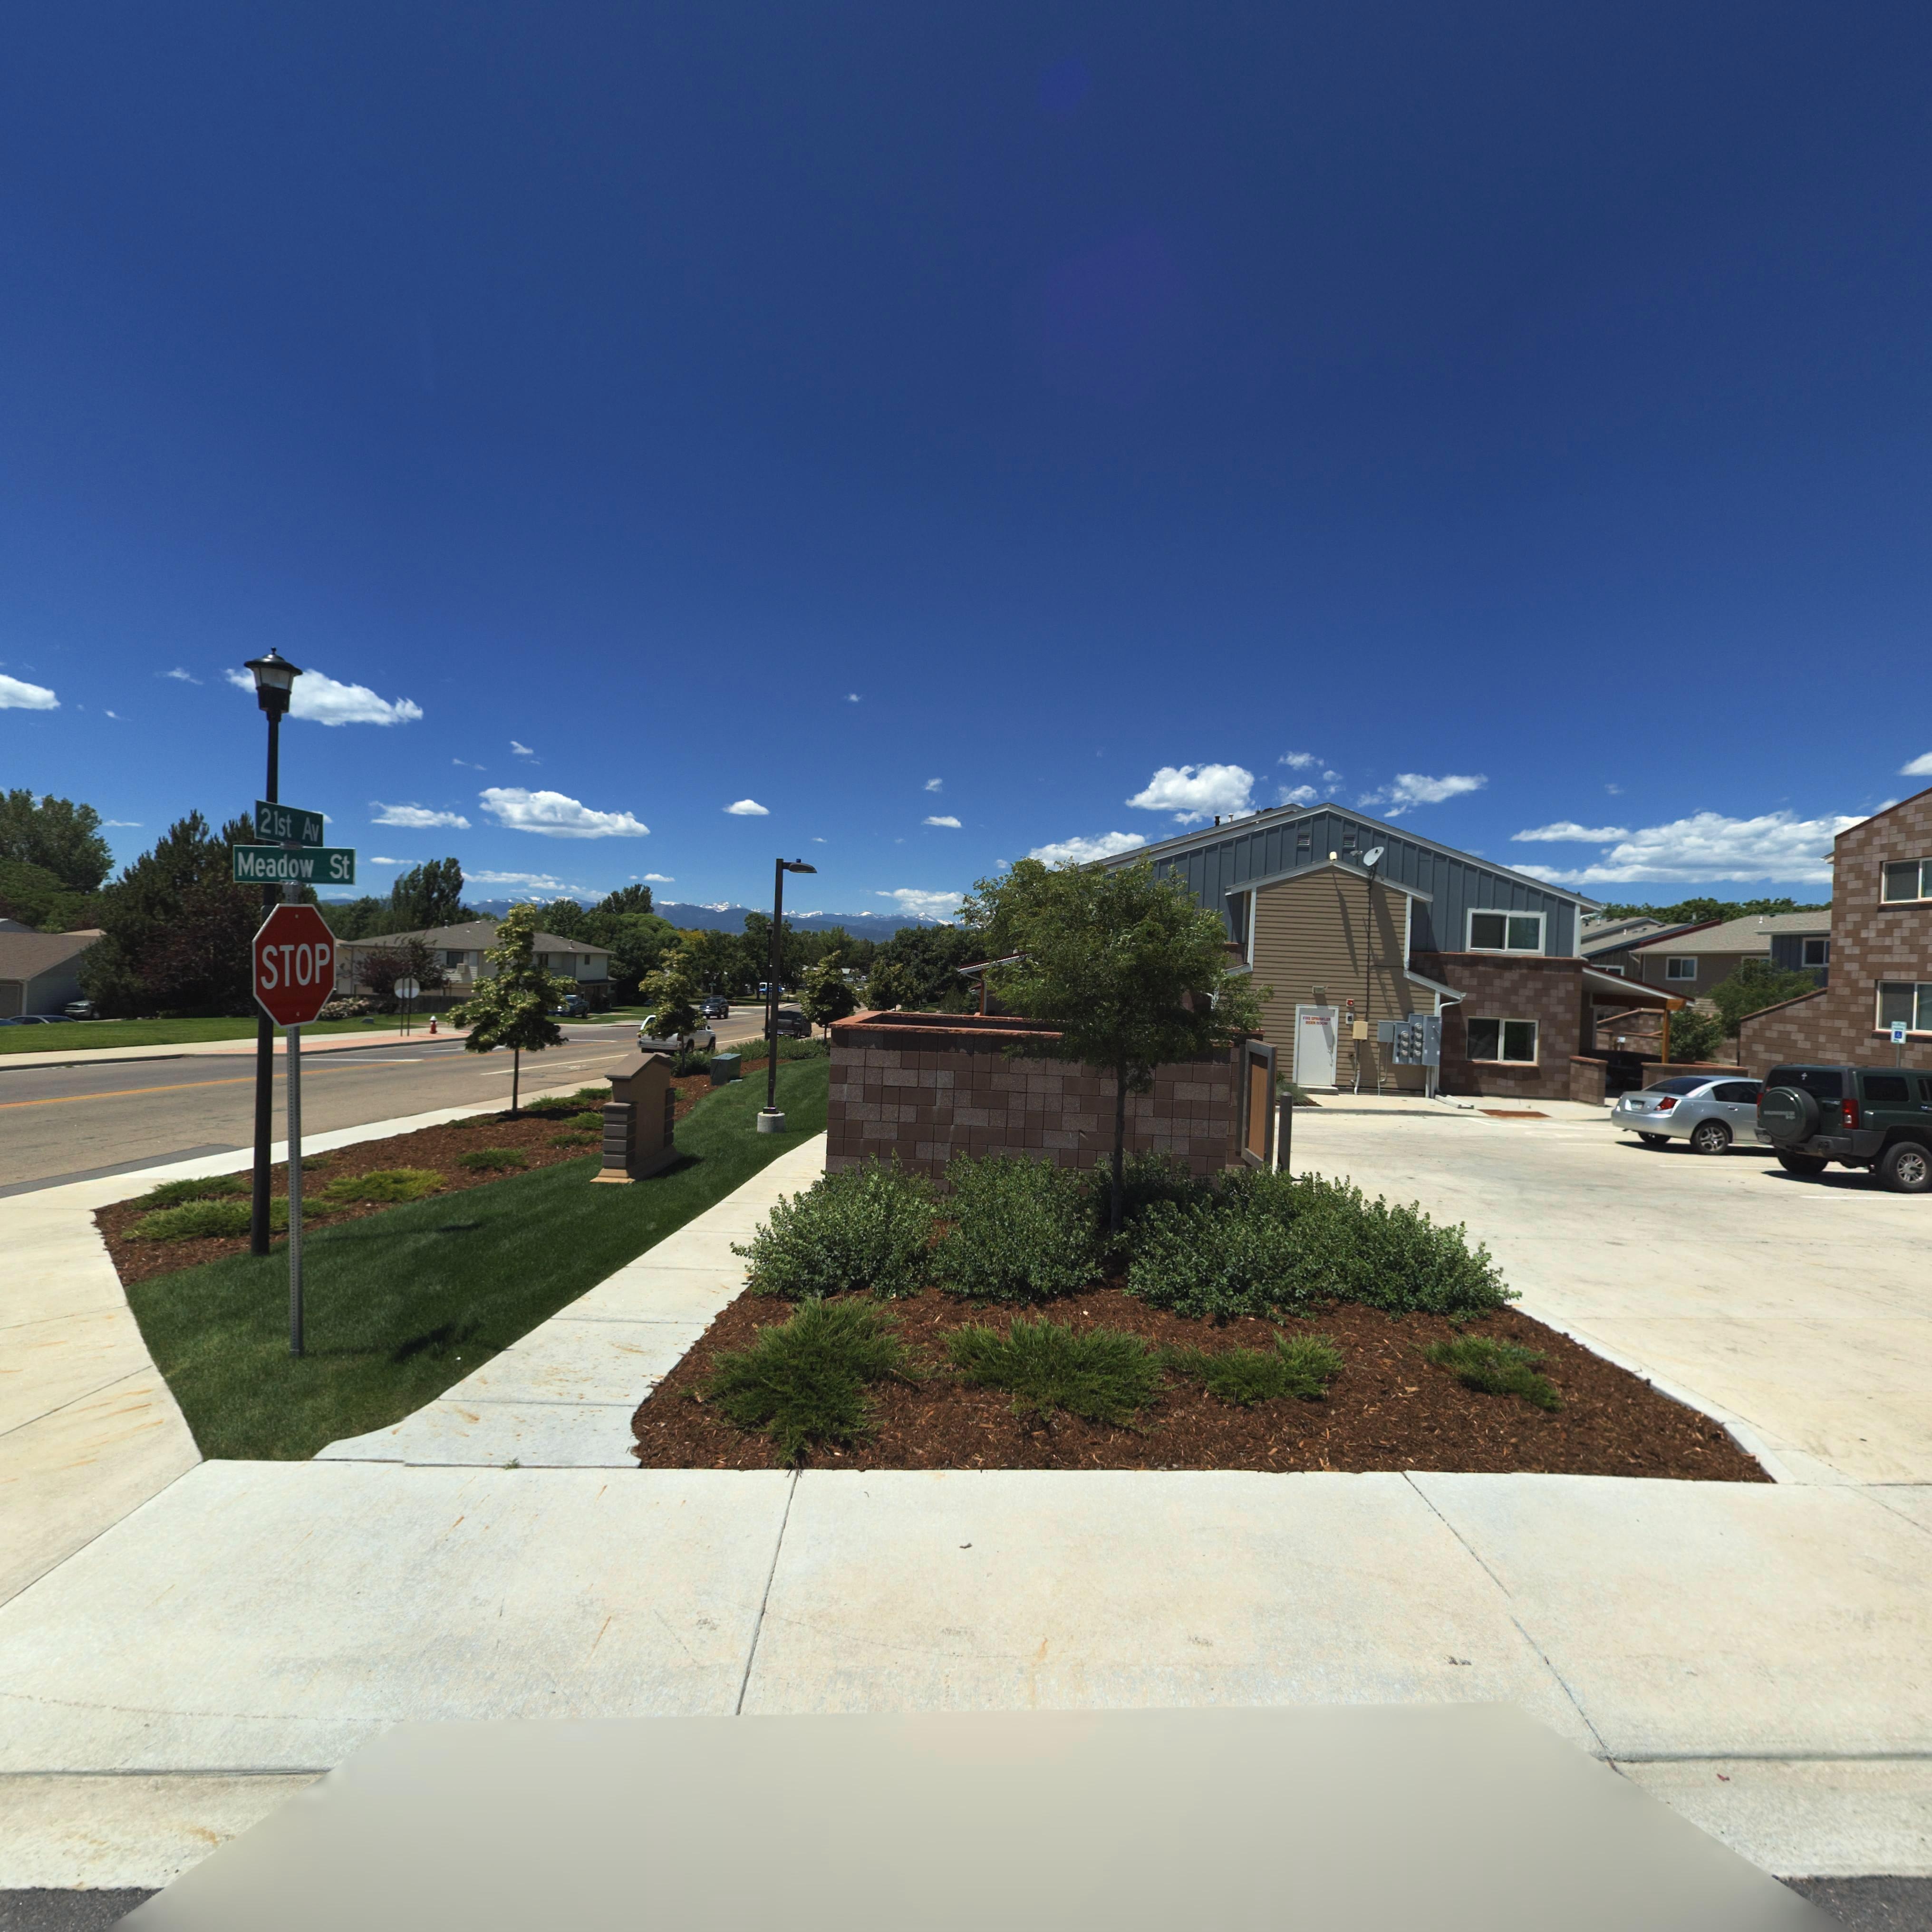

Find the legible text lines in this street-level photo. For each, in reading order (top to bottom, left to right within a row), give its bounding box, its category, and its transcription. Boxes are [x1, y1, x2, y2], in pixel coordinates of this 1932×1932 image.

[260, 807, 319, 842] StreetName: 21st Av
[238, 851, 350, 879] StreetName: Meadow St